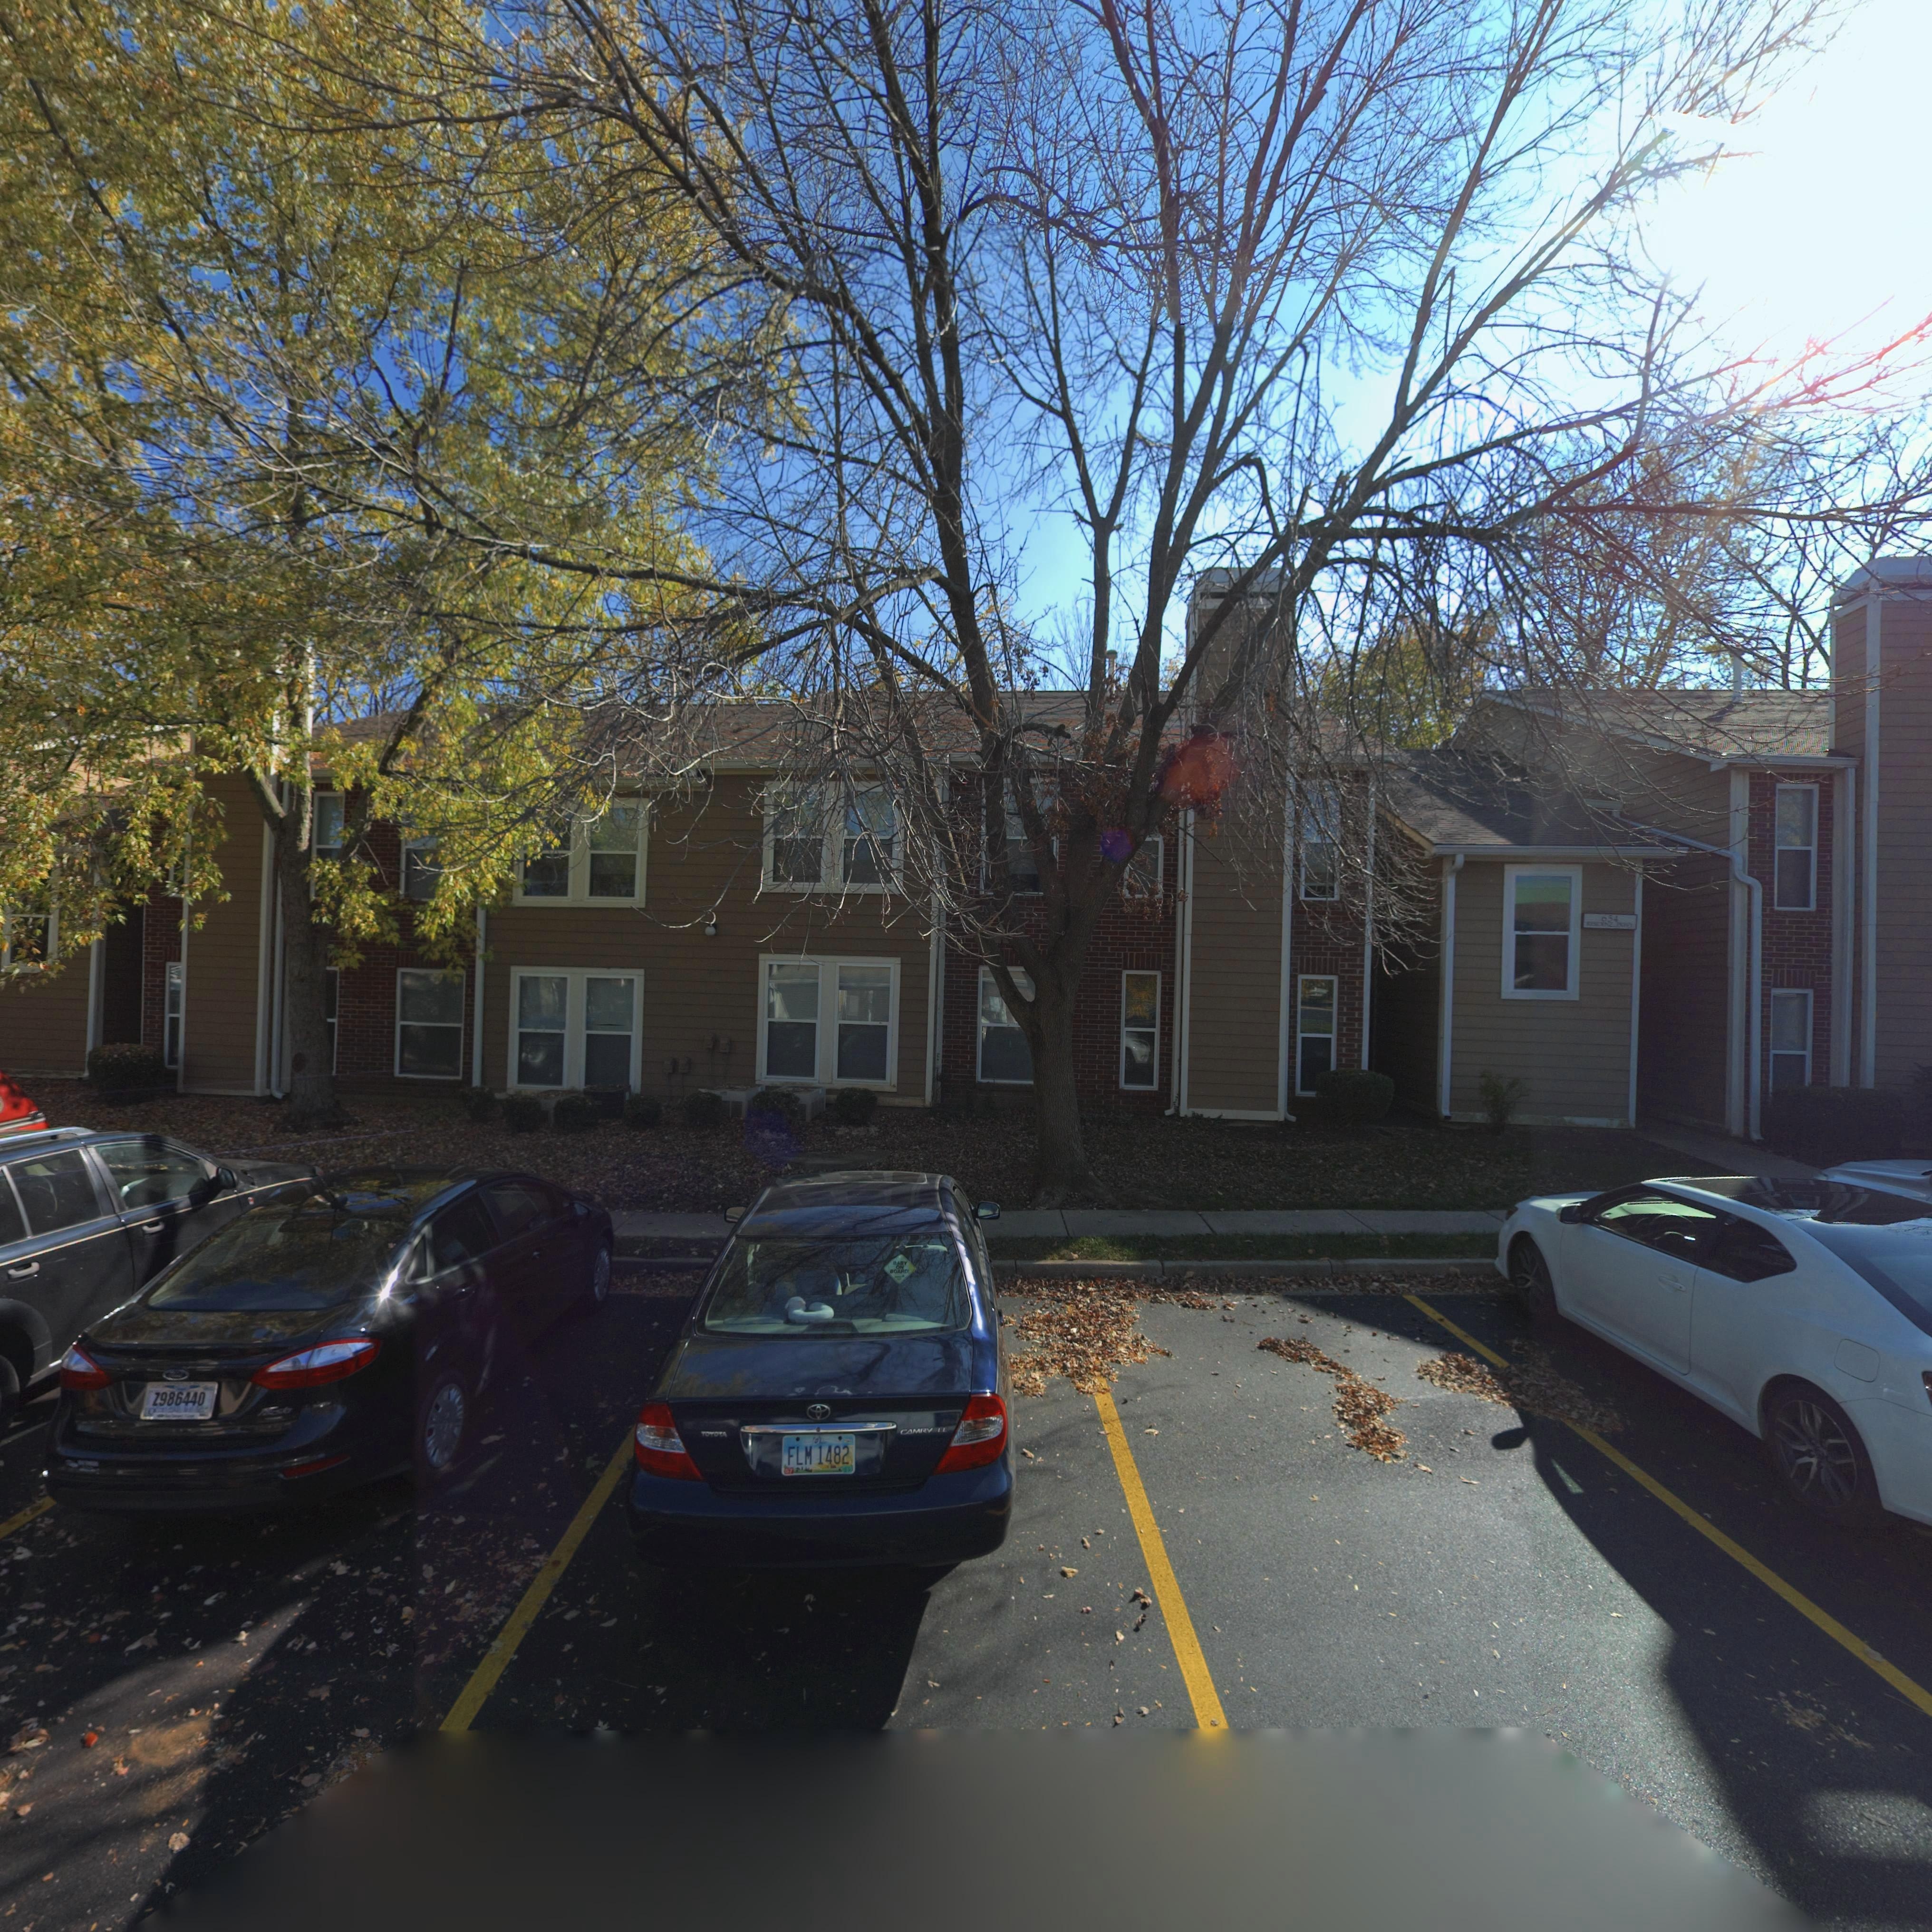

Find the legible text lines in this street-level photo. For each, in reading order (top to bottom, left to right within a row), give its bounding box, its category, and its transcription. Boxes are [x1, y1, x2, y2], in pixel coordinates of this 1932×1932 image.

[1600, 914, 1620, 923] StreetNumber: 654
[150, 1391, 207, 1407] None: Z986440
[787, 1444, 850, 1467] None: FLM 1482